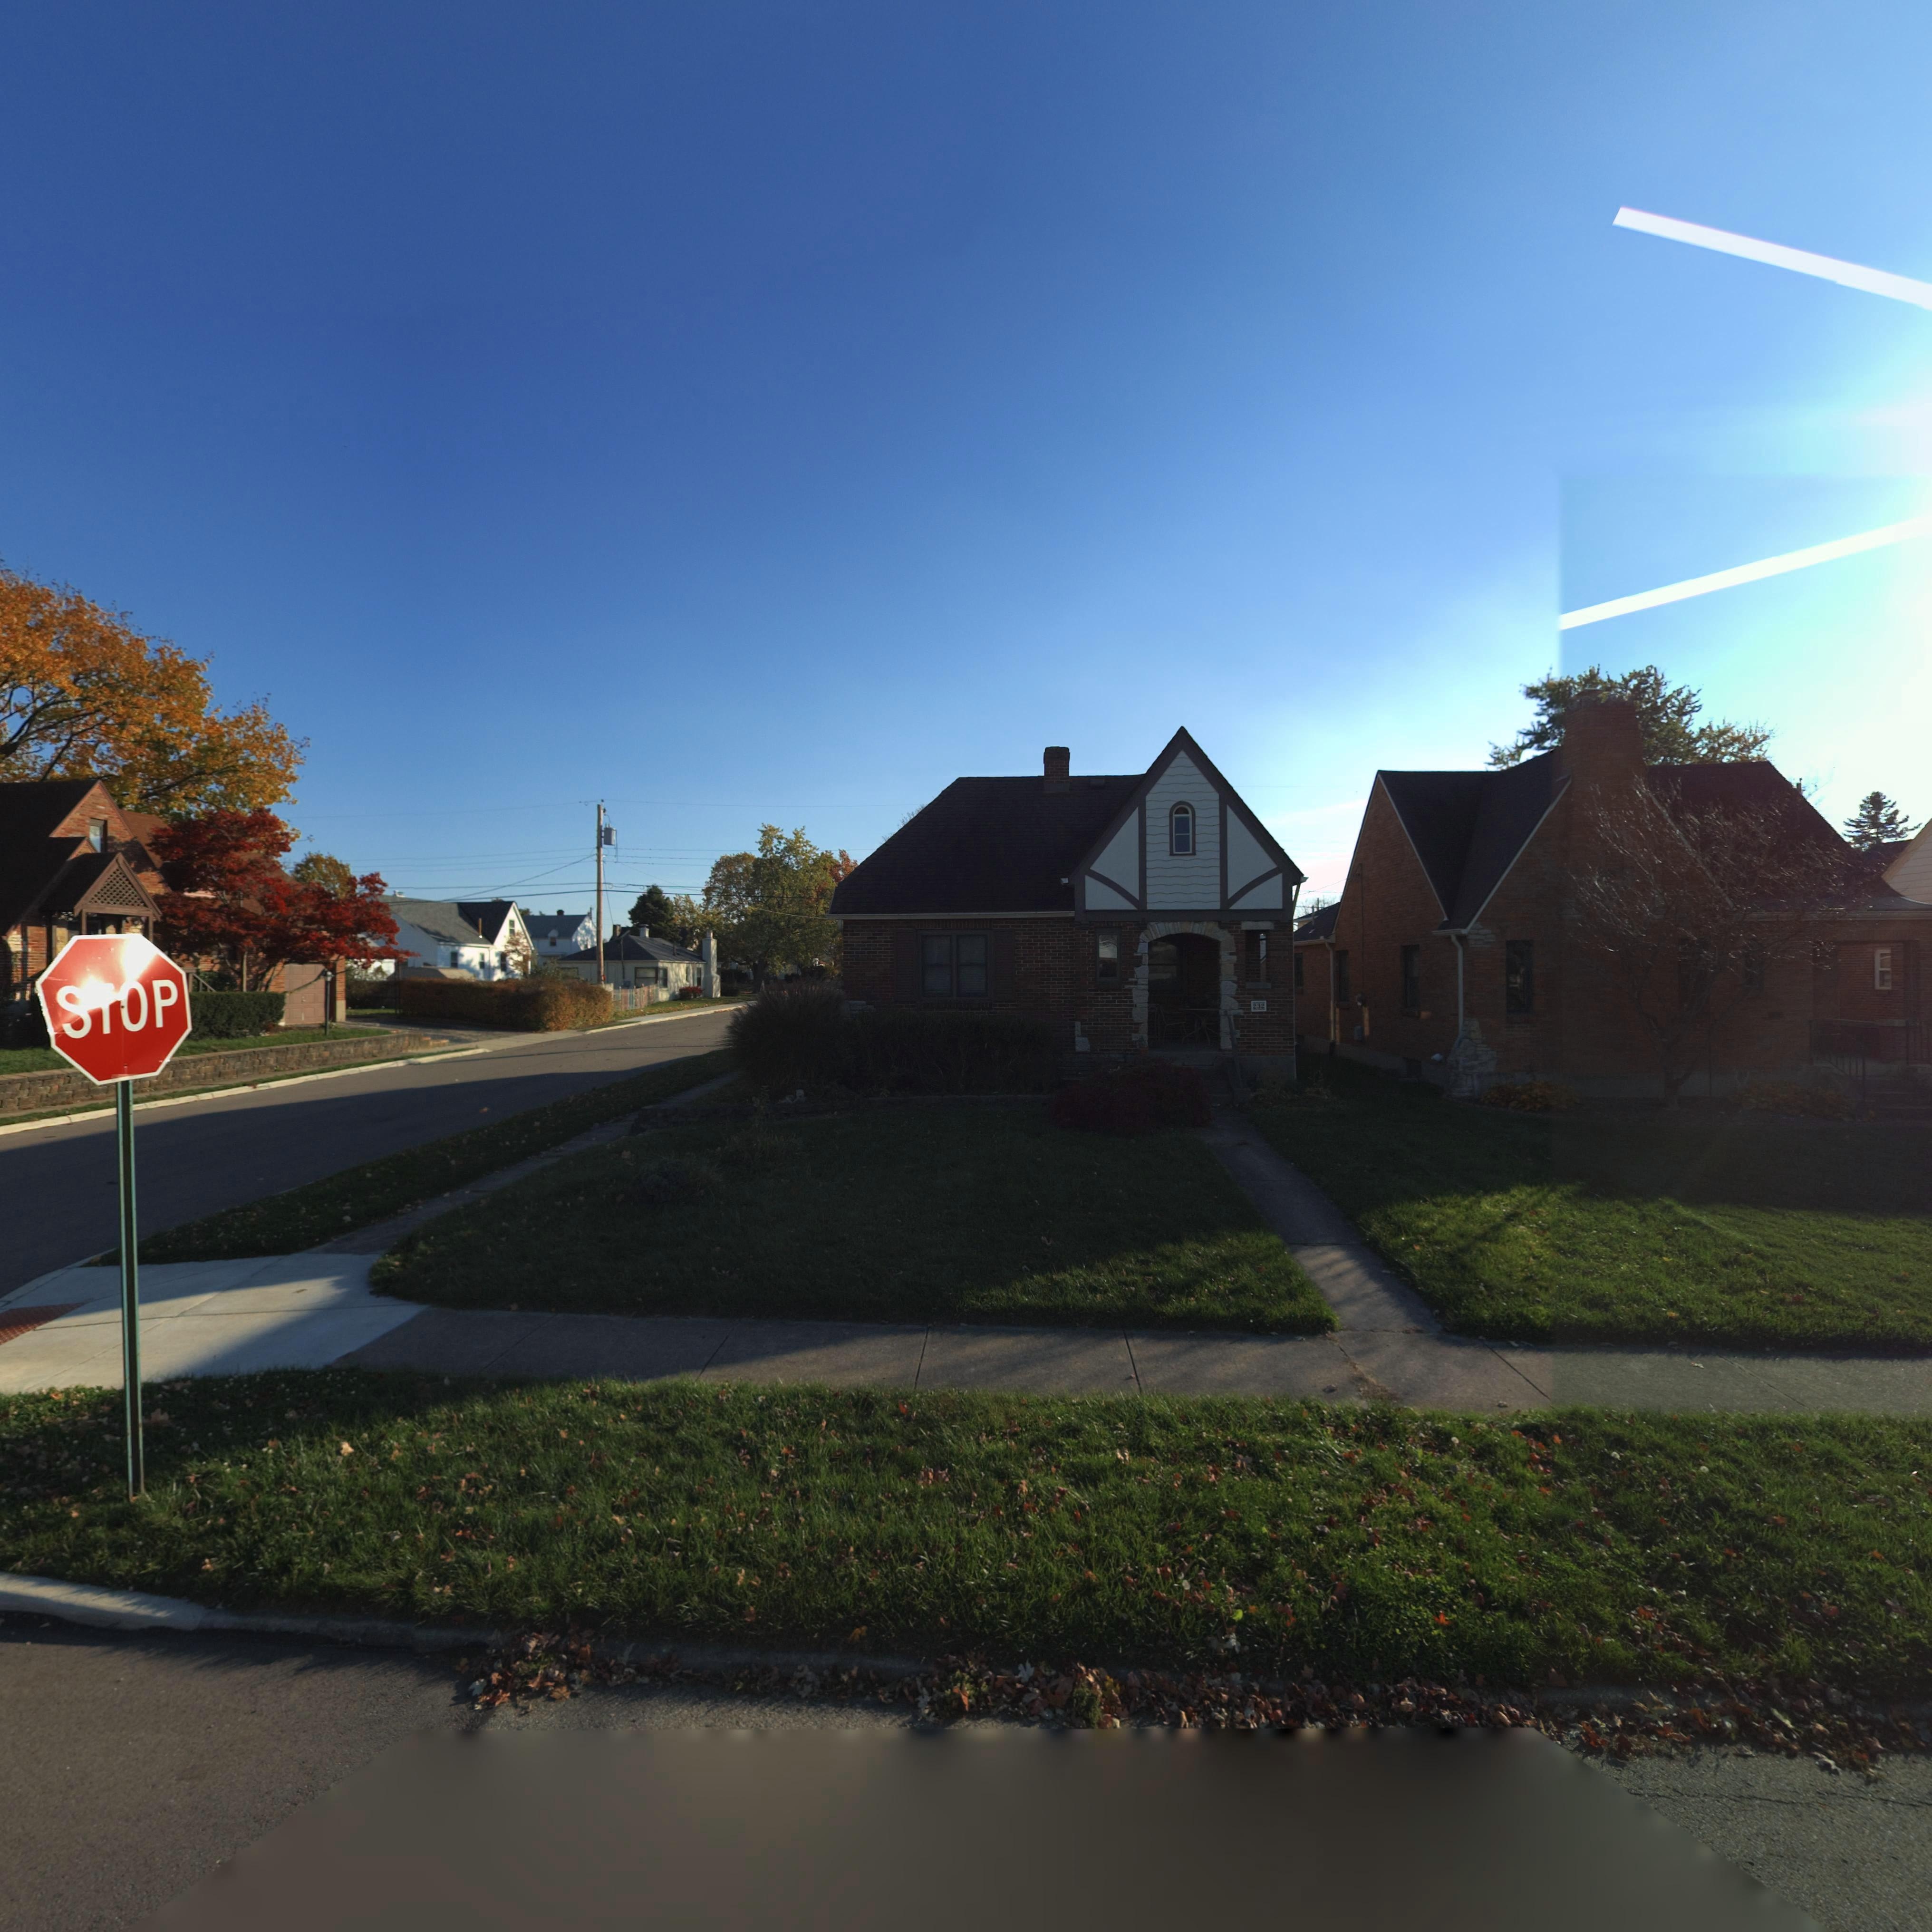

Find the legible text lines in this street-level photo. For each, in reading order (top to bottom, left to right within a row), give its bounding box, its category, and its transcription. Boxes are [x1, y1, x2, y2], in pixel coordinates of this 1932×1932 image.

[1252, 1003, 1265, 1009] StreetNumber: 232